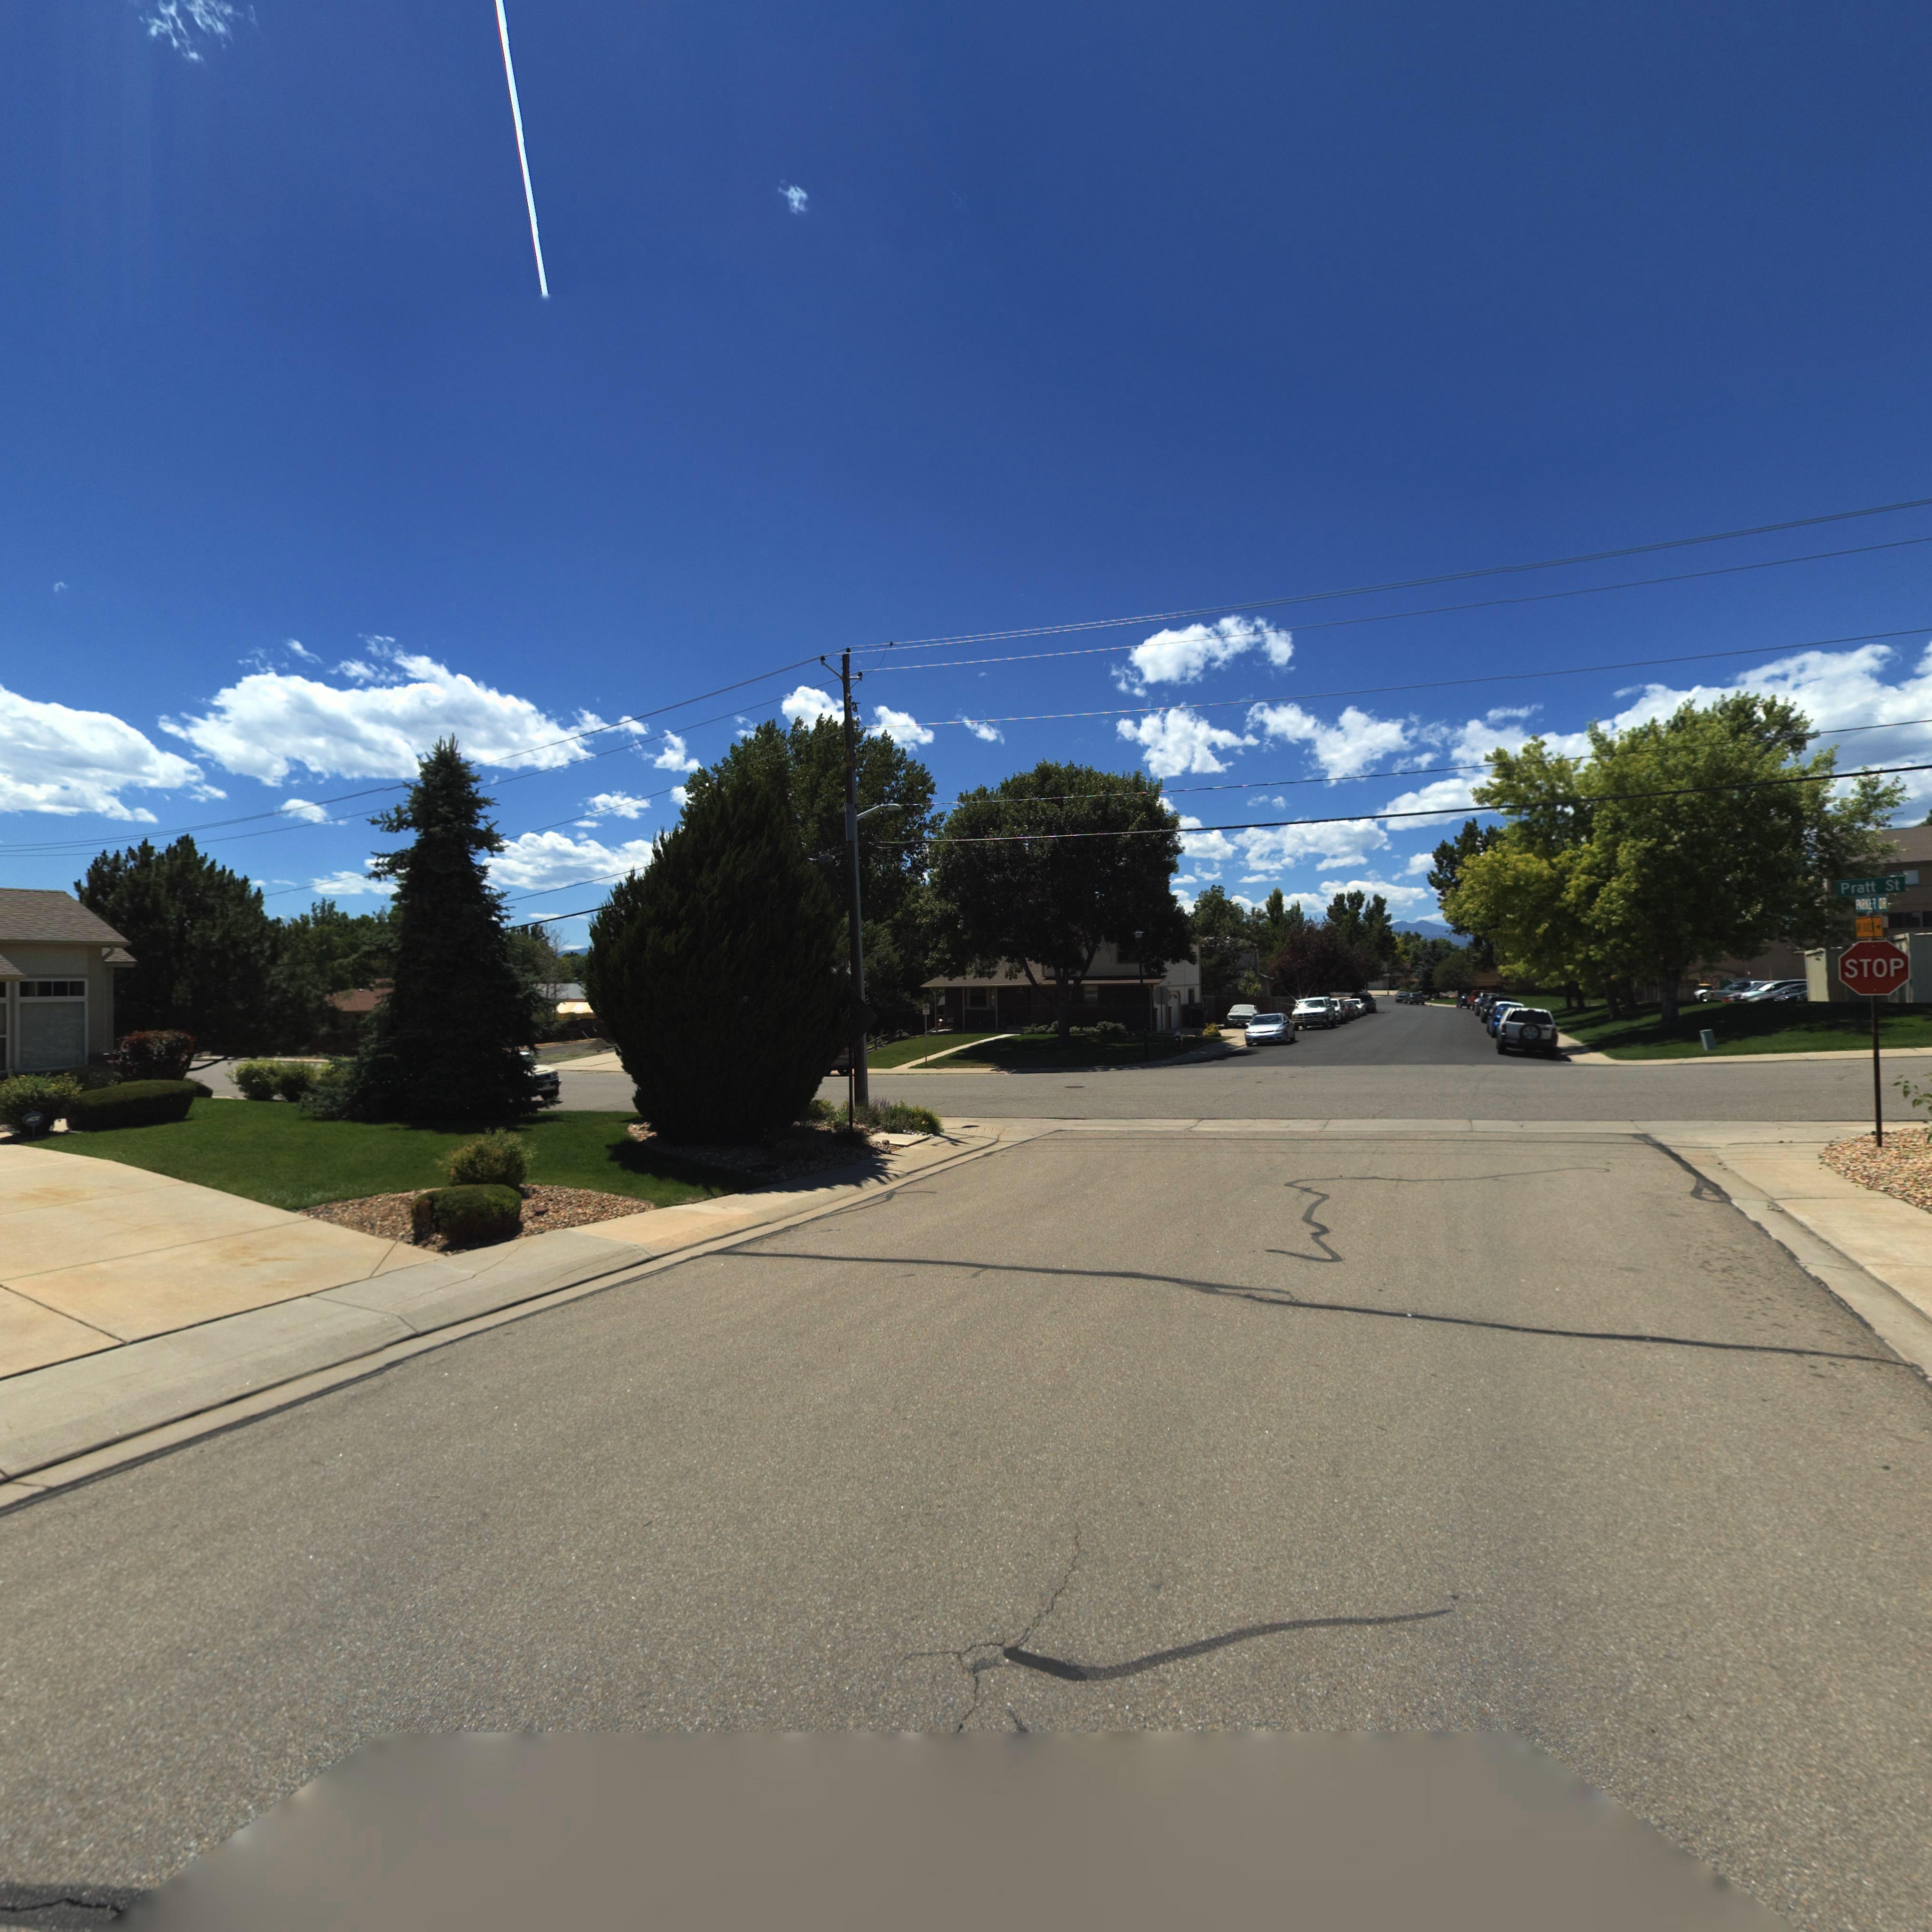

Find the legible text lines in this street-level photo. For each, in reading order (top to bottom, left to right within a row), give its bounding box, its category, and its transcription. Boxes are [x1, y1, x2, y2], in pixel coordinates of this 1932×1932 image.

[1840, 879, 1901, 895] StreetName: Pratt St
[1855, 897, 1887, 910] StreetName: PARKER DR